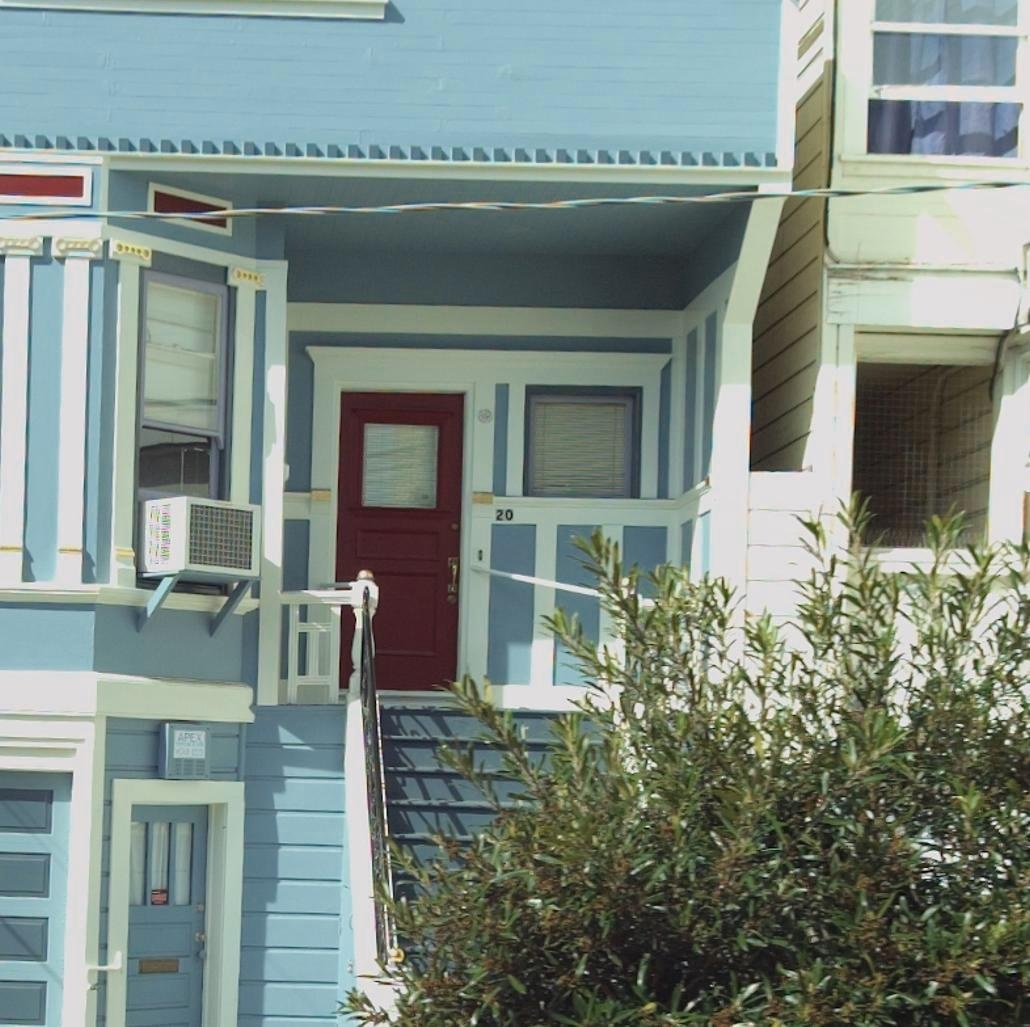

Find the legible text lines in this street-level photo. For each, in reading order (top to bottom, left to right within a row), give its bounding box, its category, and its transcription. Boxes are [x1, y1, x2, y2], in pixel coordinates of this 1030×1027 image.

[495, 508, 514, 522] StreetNumber: 20
[176, 732, 204, 743] None: APEX